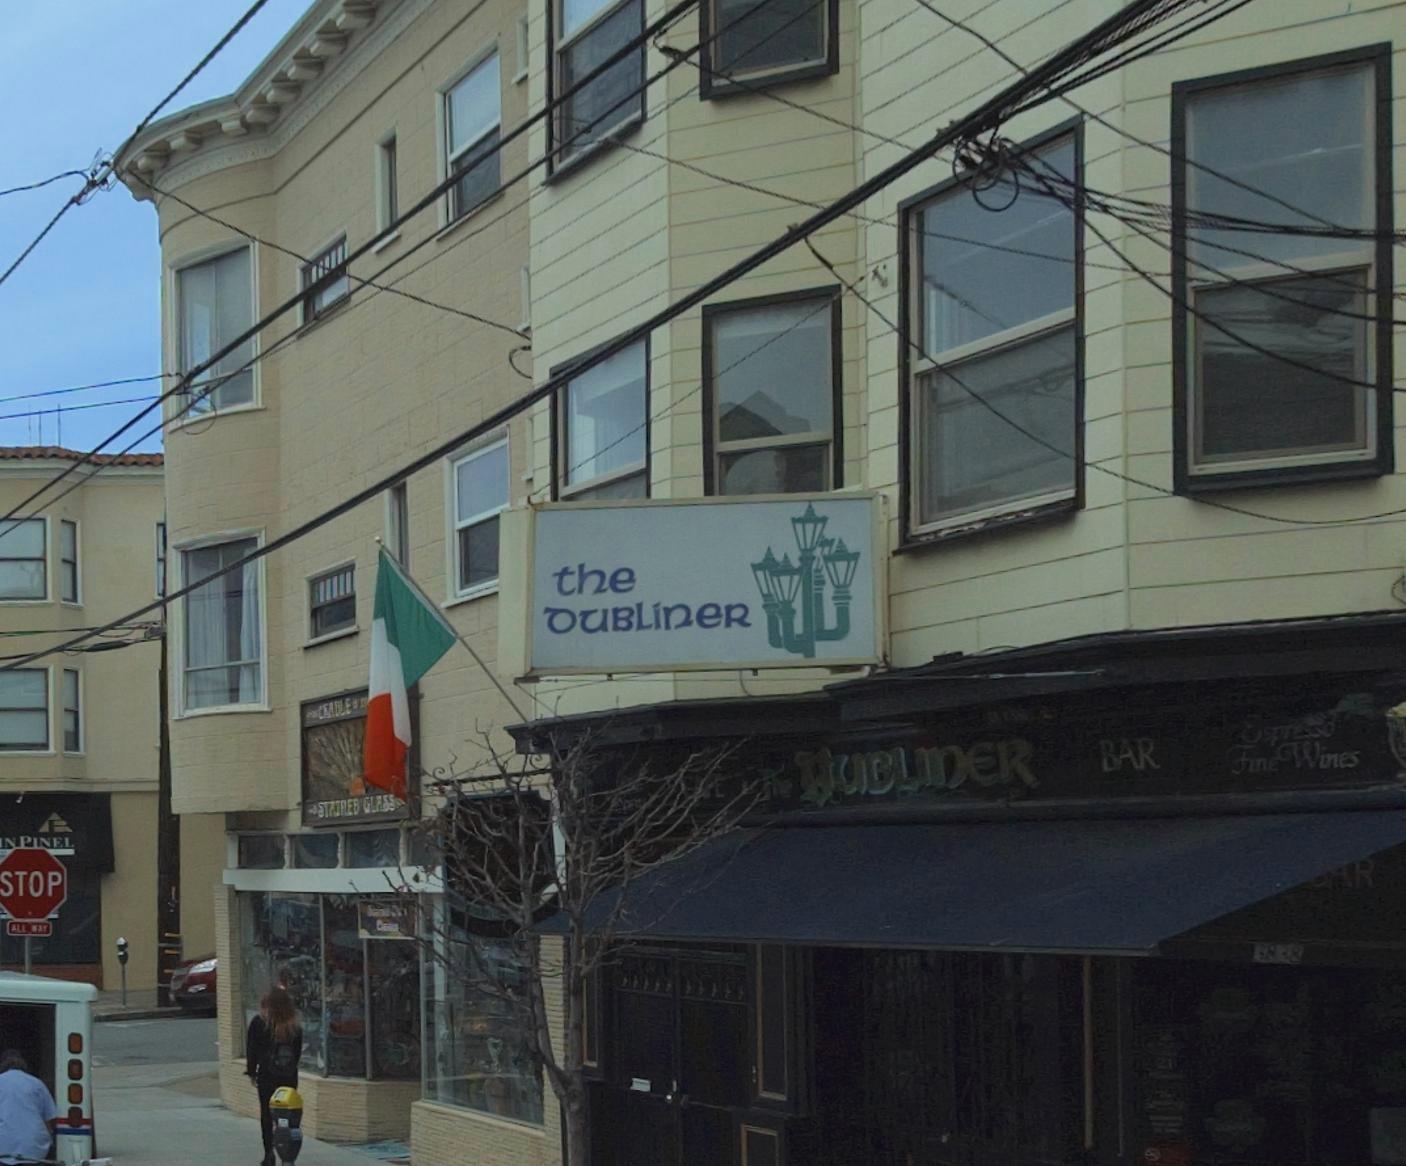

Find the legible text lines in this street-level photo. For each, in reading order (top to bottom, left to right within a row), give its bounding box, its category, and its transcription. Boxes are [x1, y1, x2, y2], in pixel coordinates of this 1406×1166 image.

[551, 560, 638, 597] BusinessName: the
[542, 600, 753, 637] BusinessName: DUBLiNeR
[316, 697, 354, 721] BusinessName: C***LE
[1237, 712, 1335, 745] None: Espresso
[756, 735, 1163, 807] BusinessName: The DUBLINER BAR
[1221, 739, 1362, 777] None: Fine Wines
[316, 792, 397, 821] BusinessName: ST**NED GLASS
[3, 834, 77, 849] BusinessName: N PINEL
[0, 869, 64, 898] None: STOP
[9, 923, 49, 934] None: ALL *AY
[1255, 943, 1303, 964] None: 3838
[1155, 1056, 1174, 1071] None: 21